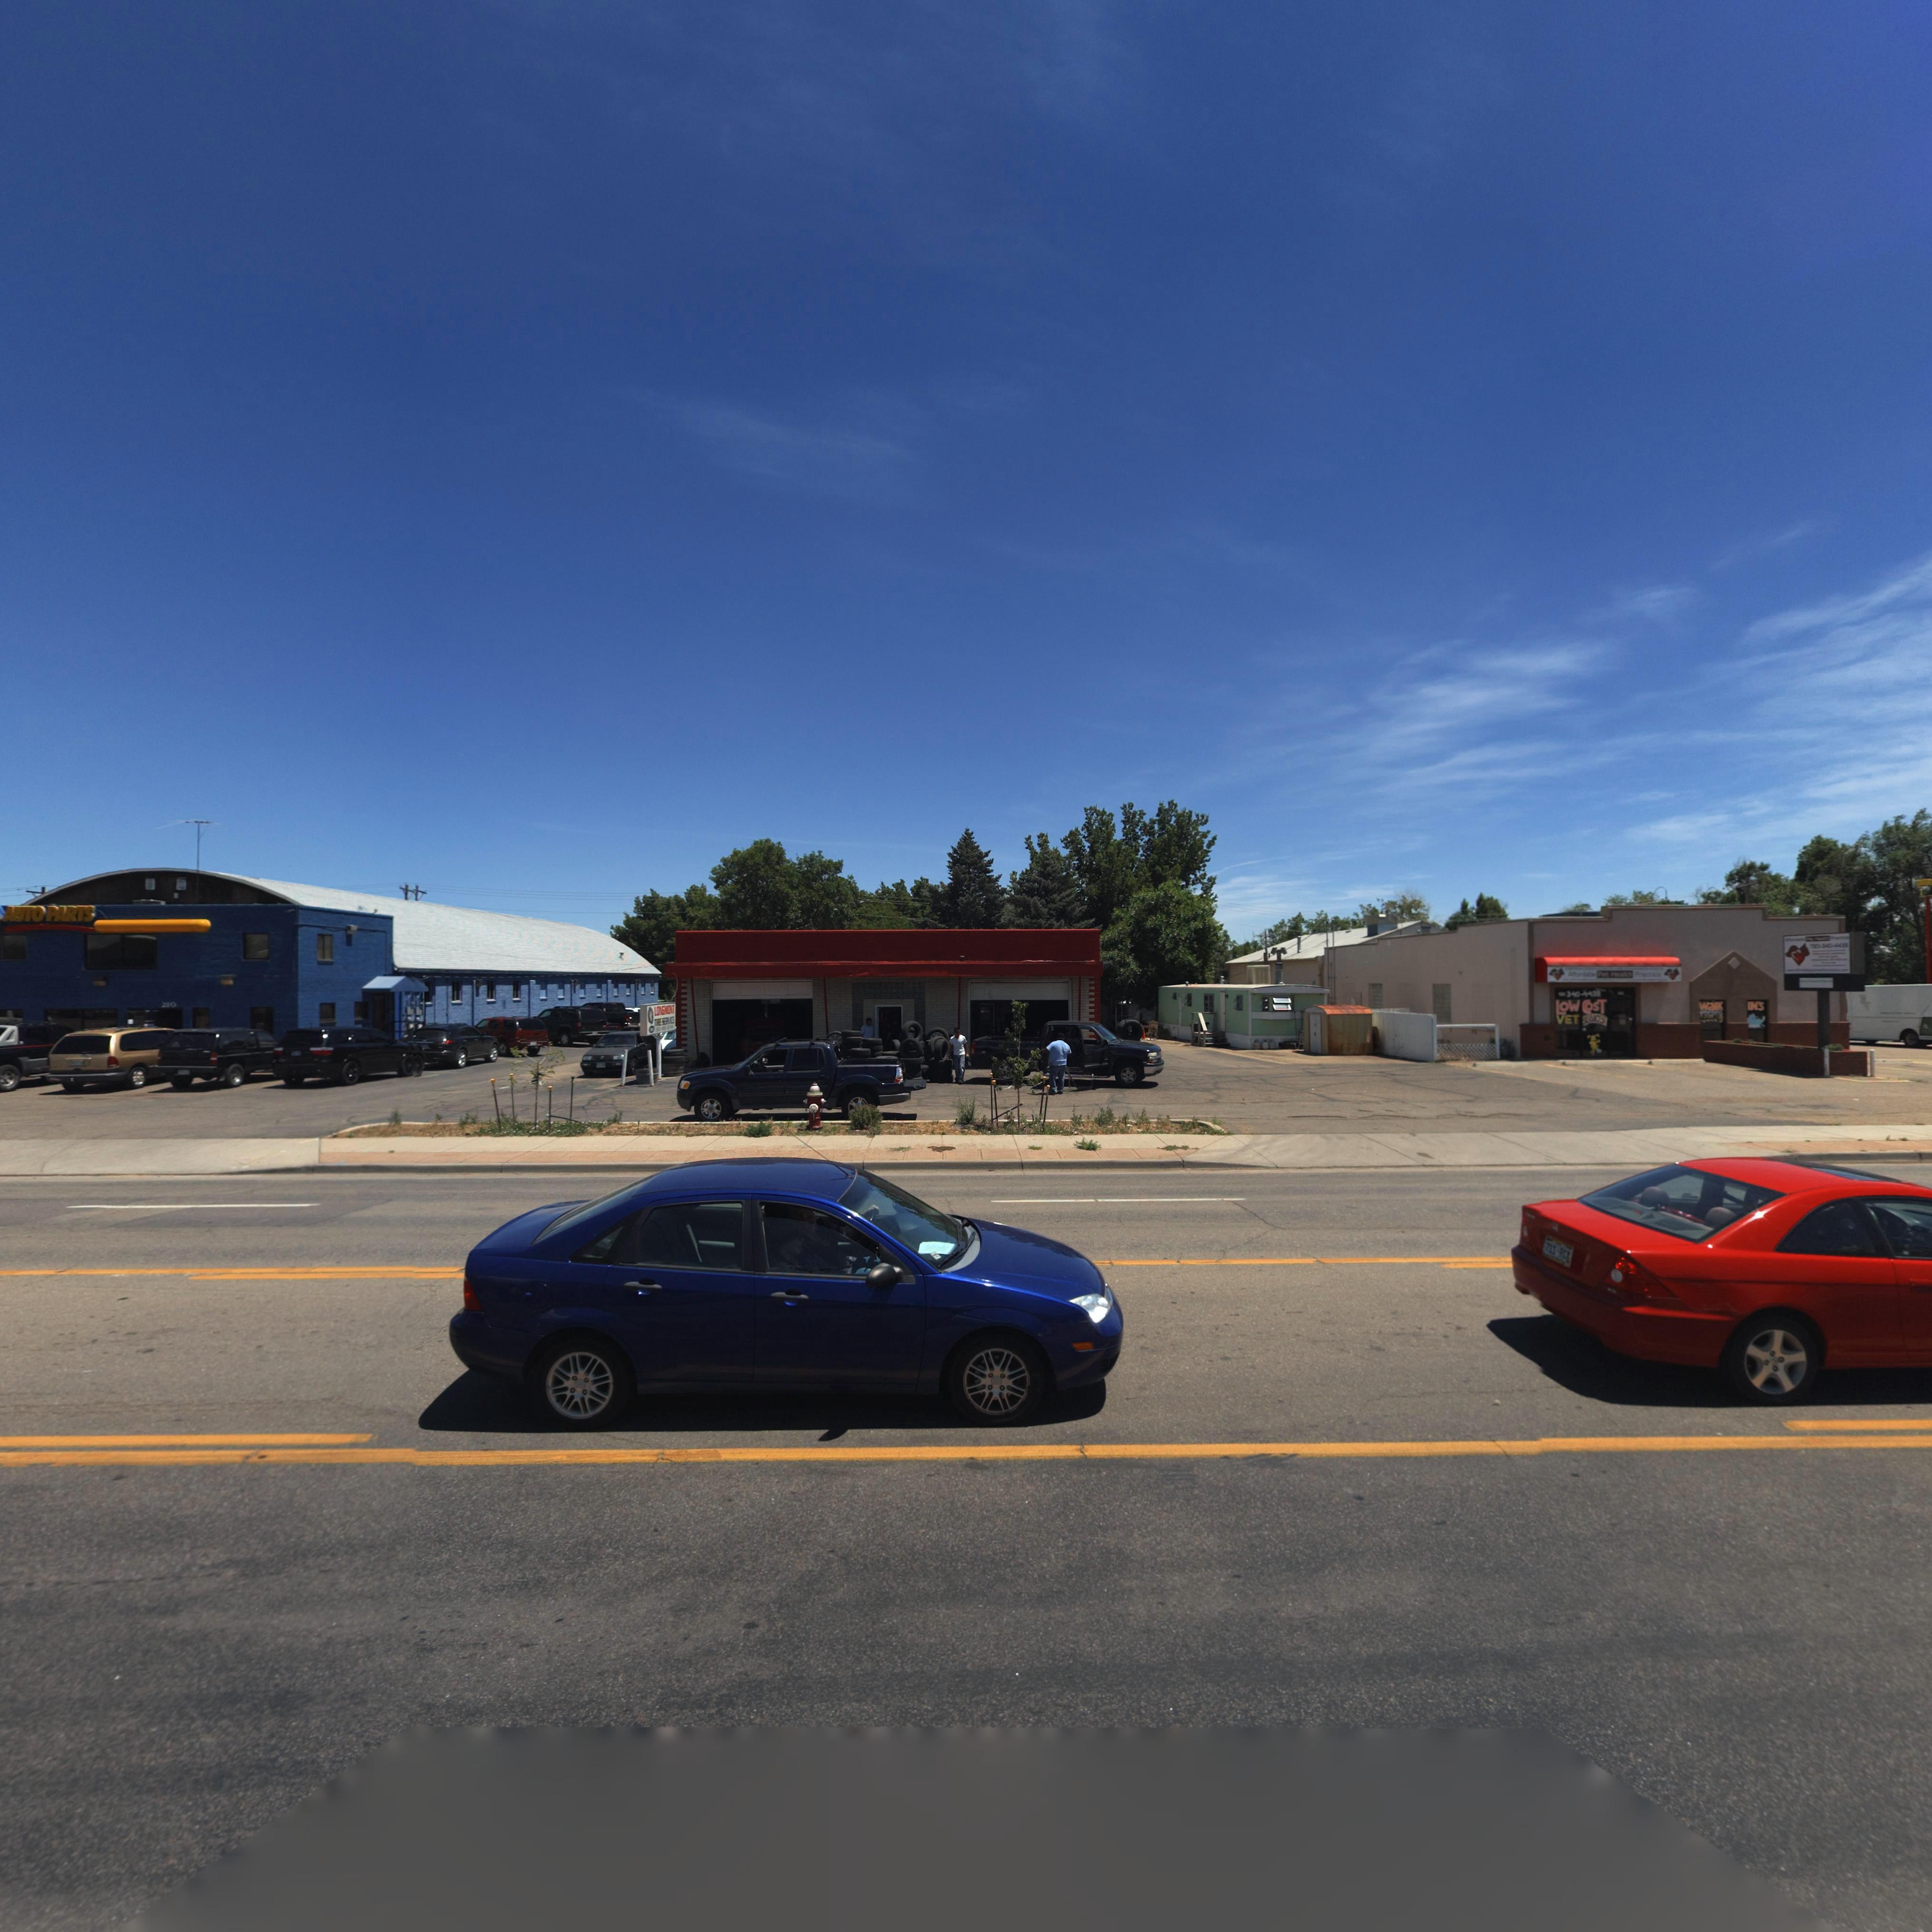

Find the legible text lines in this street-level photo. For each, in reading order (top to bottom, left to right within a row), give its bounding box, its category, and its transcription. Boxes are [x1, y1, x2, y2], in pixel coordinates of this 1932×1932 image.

[1, 905, 96, 922] BusinessName: AUTO PARTS
[160, 1001, 176, 1008] StreetNumber: 210
[654, 1004, 675, 1016] BusinessName: LONG*ONT
[654, 1016, 675, 1026] BusinessName: TIRE SER*CE